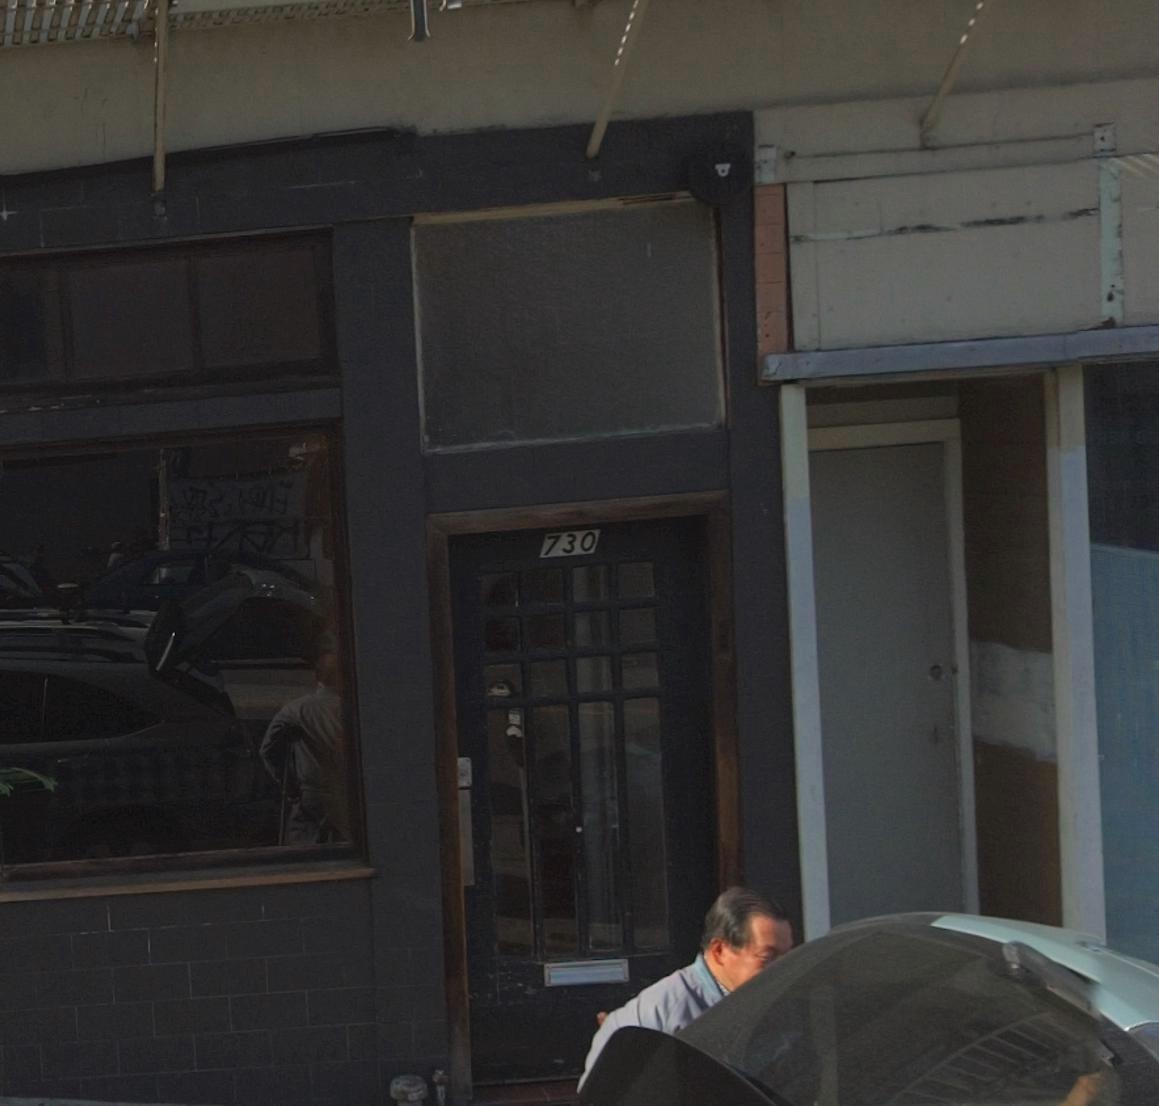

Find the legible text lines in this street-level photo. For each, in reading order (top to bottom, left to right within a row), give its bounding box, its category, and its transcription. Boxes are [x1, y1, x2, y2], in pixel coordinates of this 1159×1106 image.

[539, 529, 601, 557] StreetNumber: 730